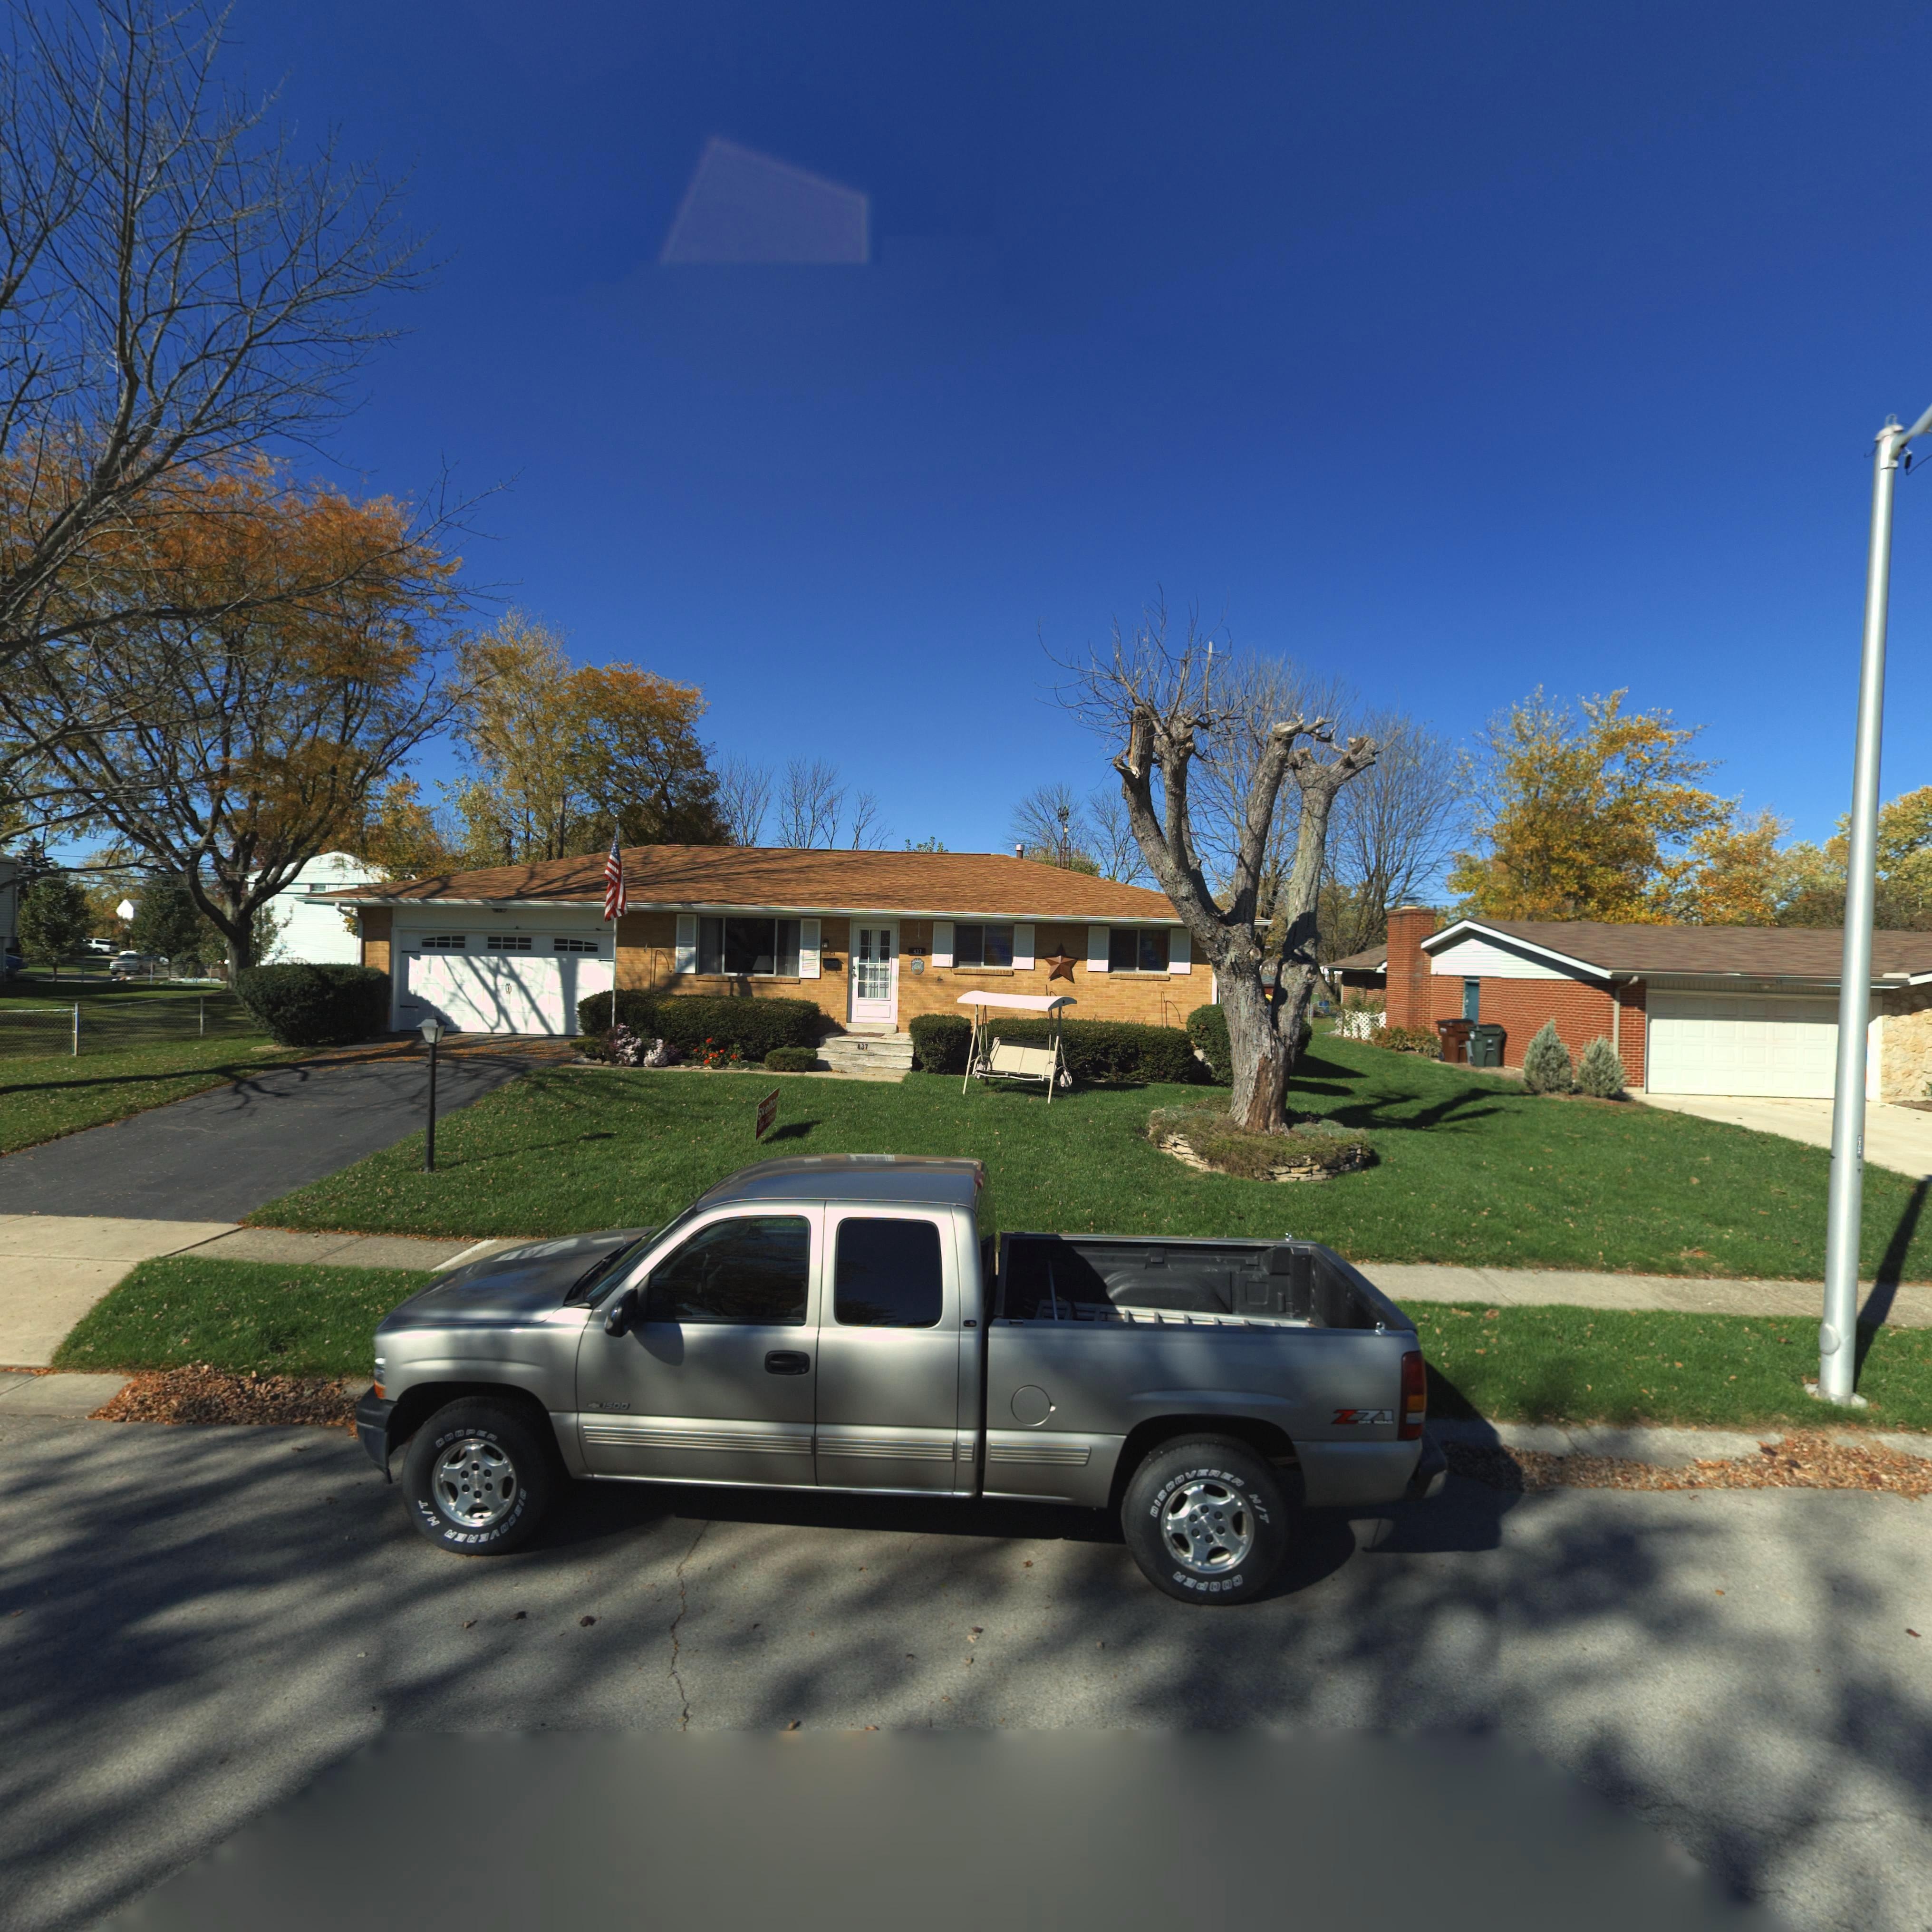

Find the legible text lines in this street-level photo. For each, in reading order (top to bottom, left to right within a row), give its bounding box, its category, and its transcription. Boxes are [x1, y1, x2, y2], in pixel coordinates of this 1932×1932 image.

[912, 948, 922, 955] StreetNumber: 437
[856, 1043, 869, 1051] StreetNumber: 437